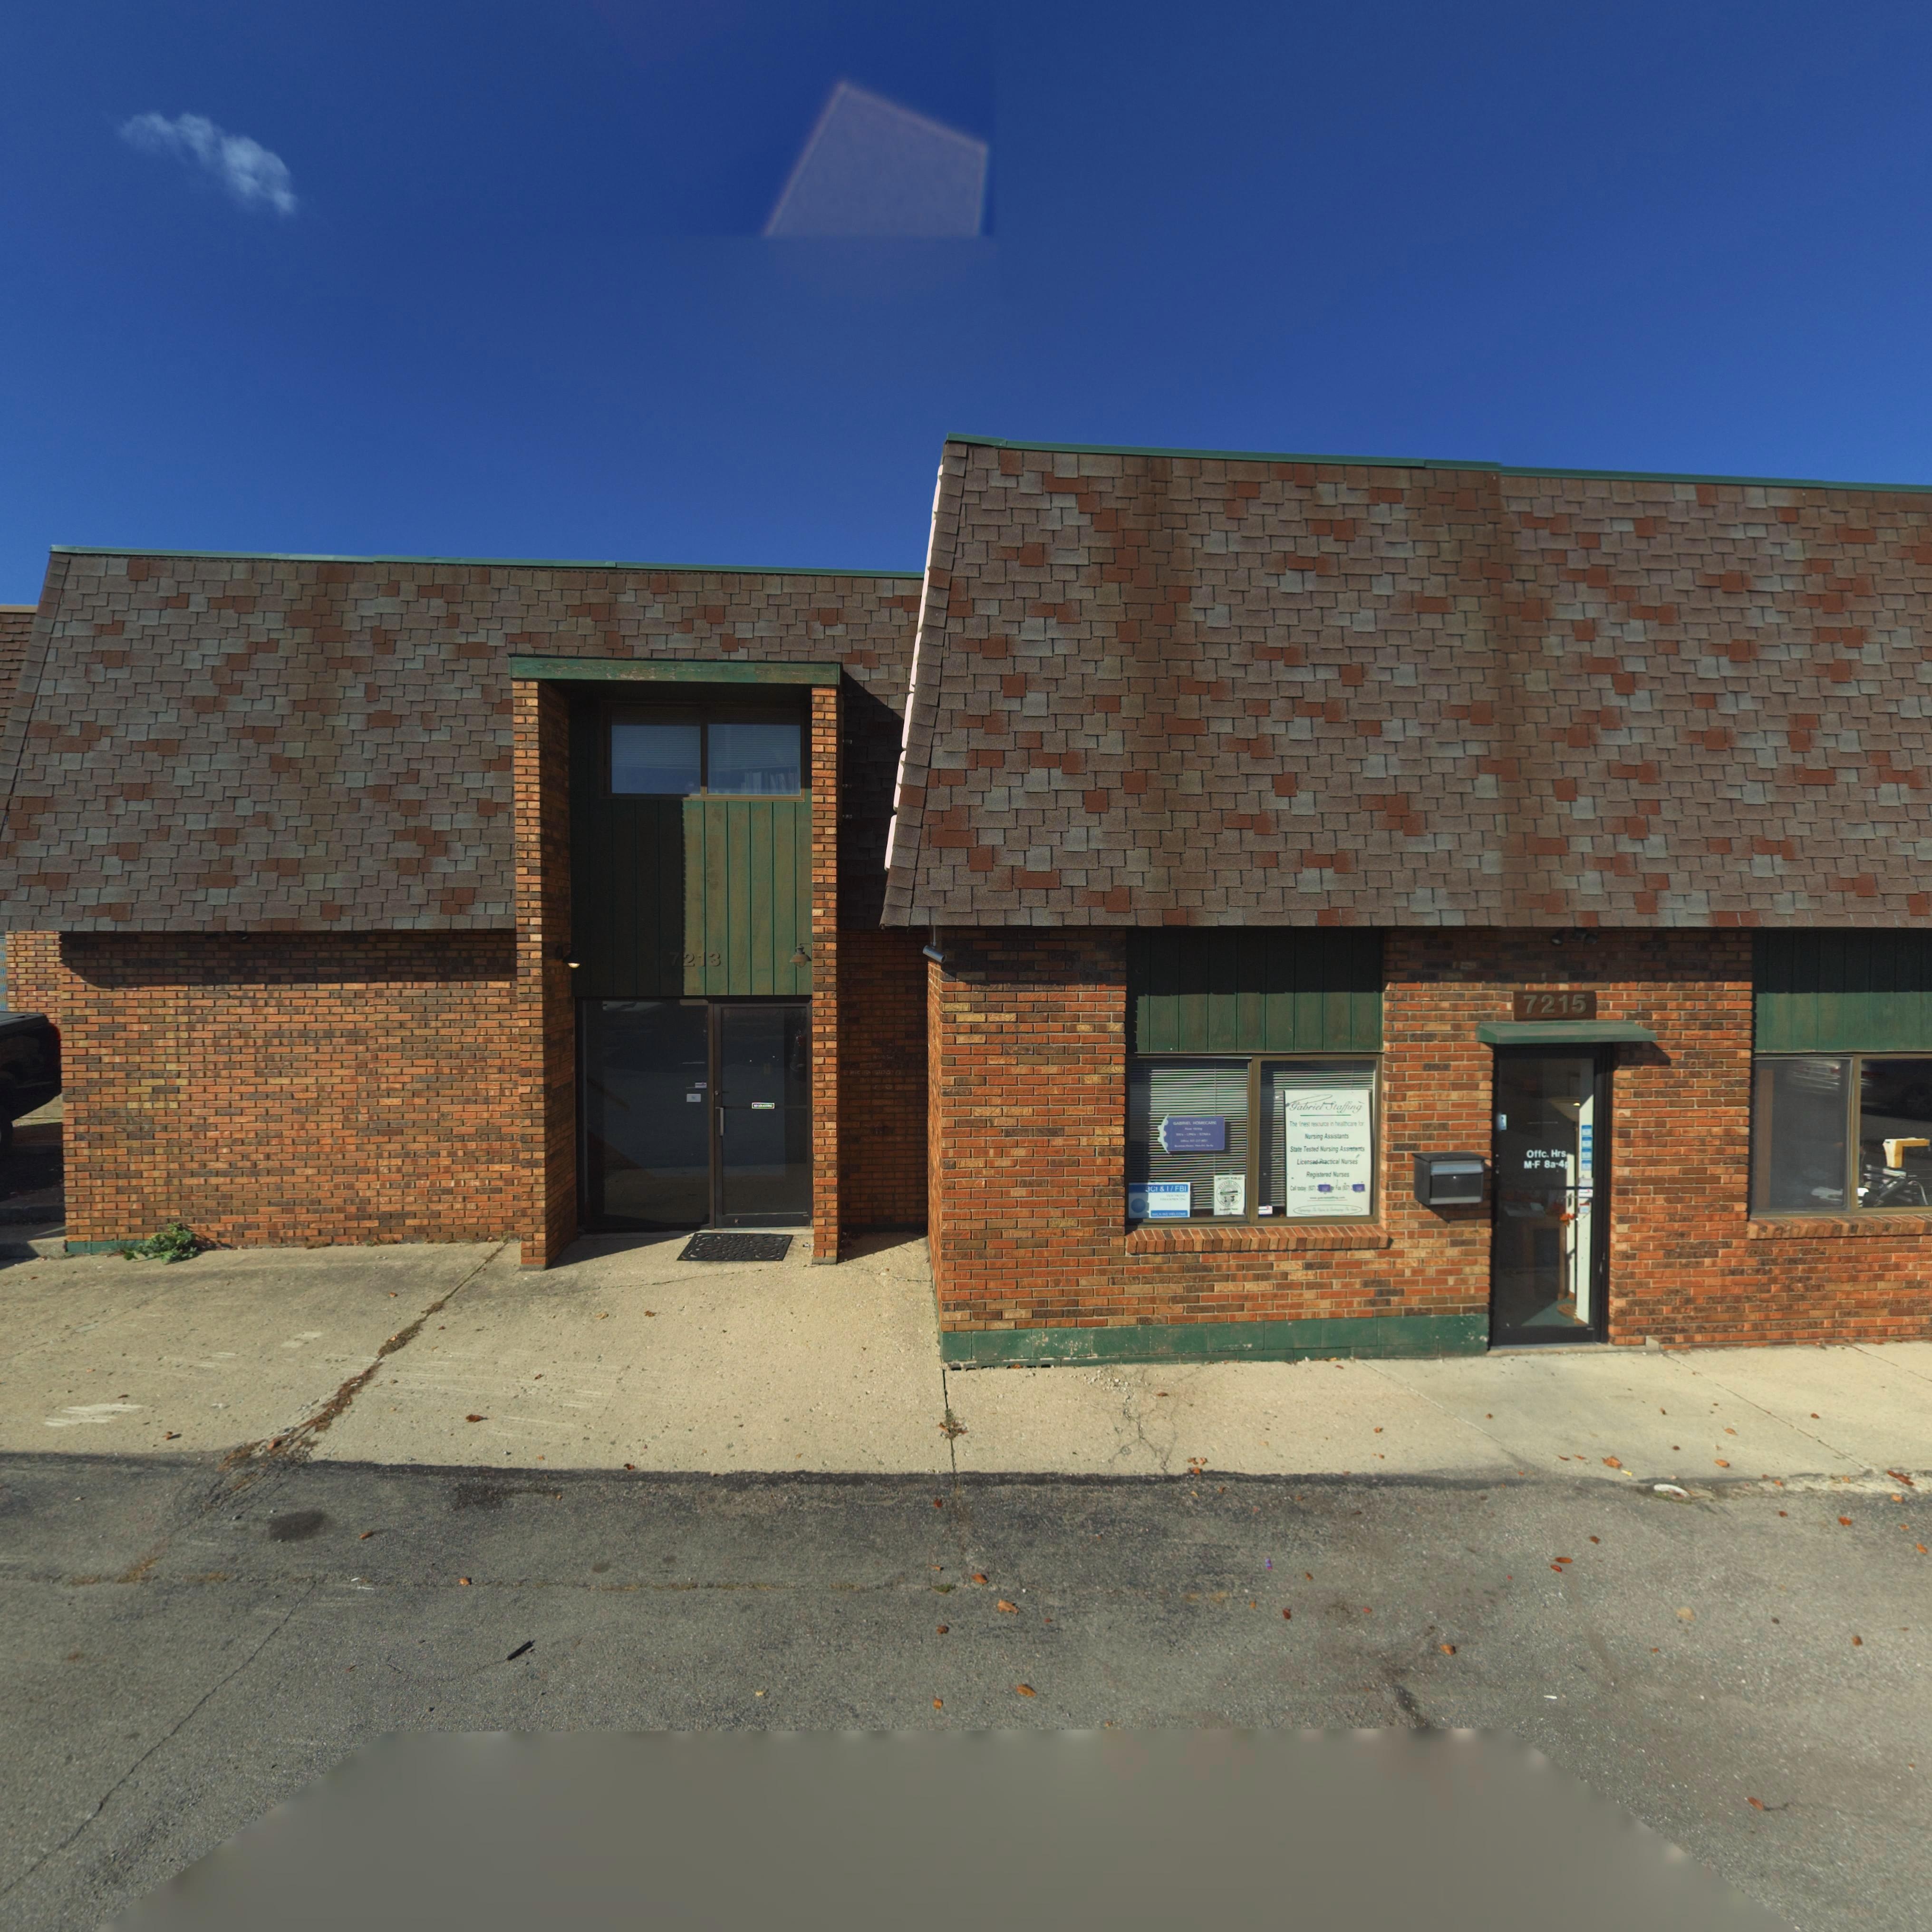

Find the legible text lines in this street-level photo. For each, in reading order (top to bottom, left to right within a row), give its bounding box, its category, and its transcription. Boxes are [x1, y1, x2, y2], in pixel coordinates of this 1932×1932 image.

[667, 950, 722, 967] StreetNumber: 7213
[1523, 994, 1587, 1014] StreetNumber: 7215
[1287, 1101, 1362, 1115] BusinessName: Gabriel Staffing